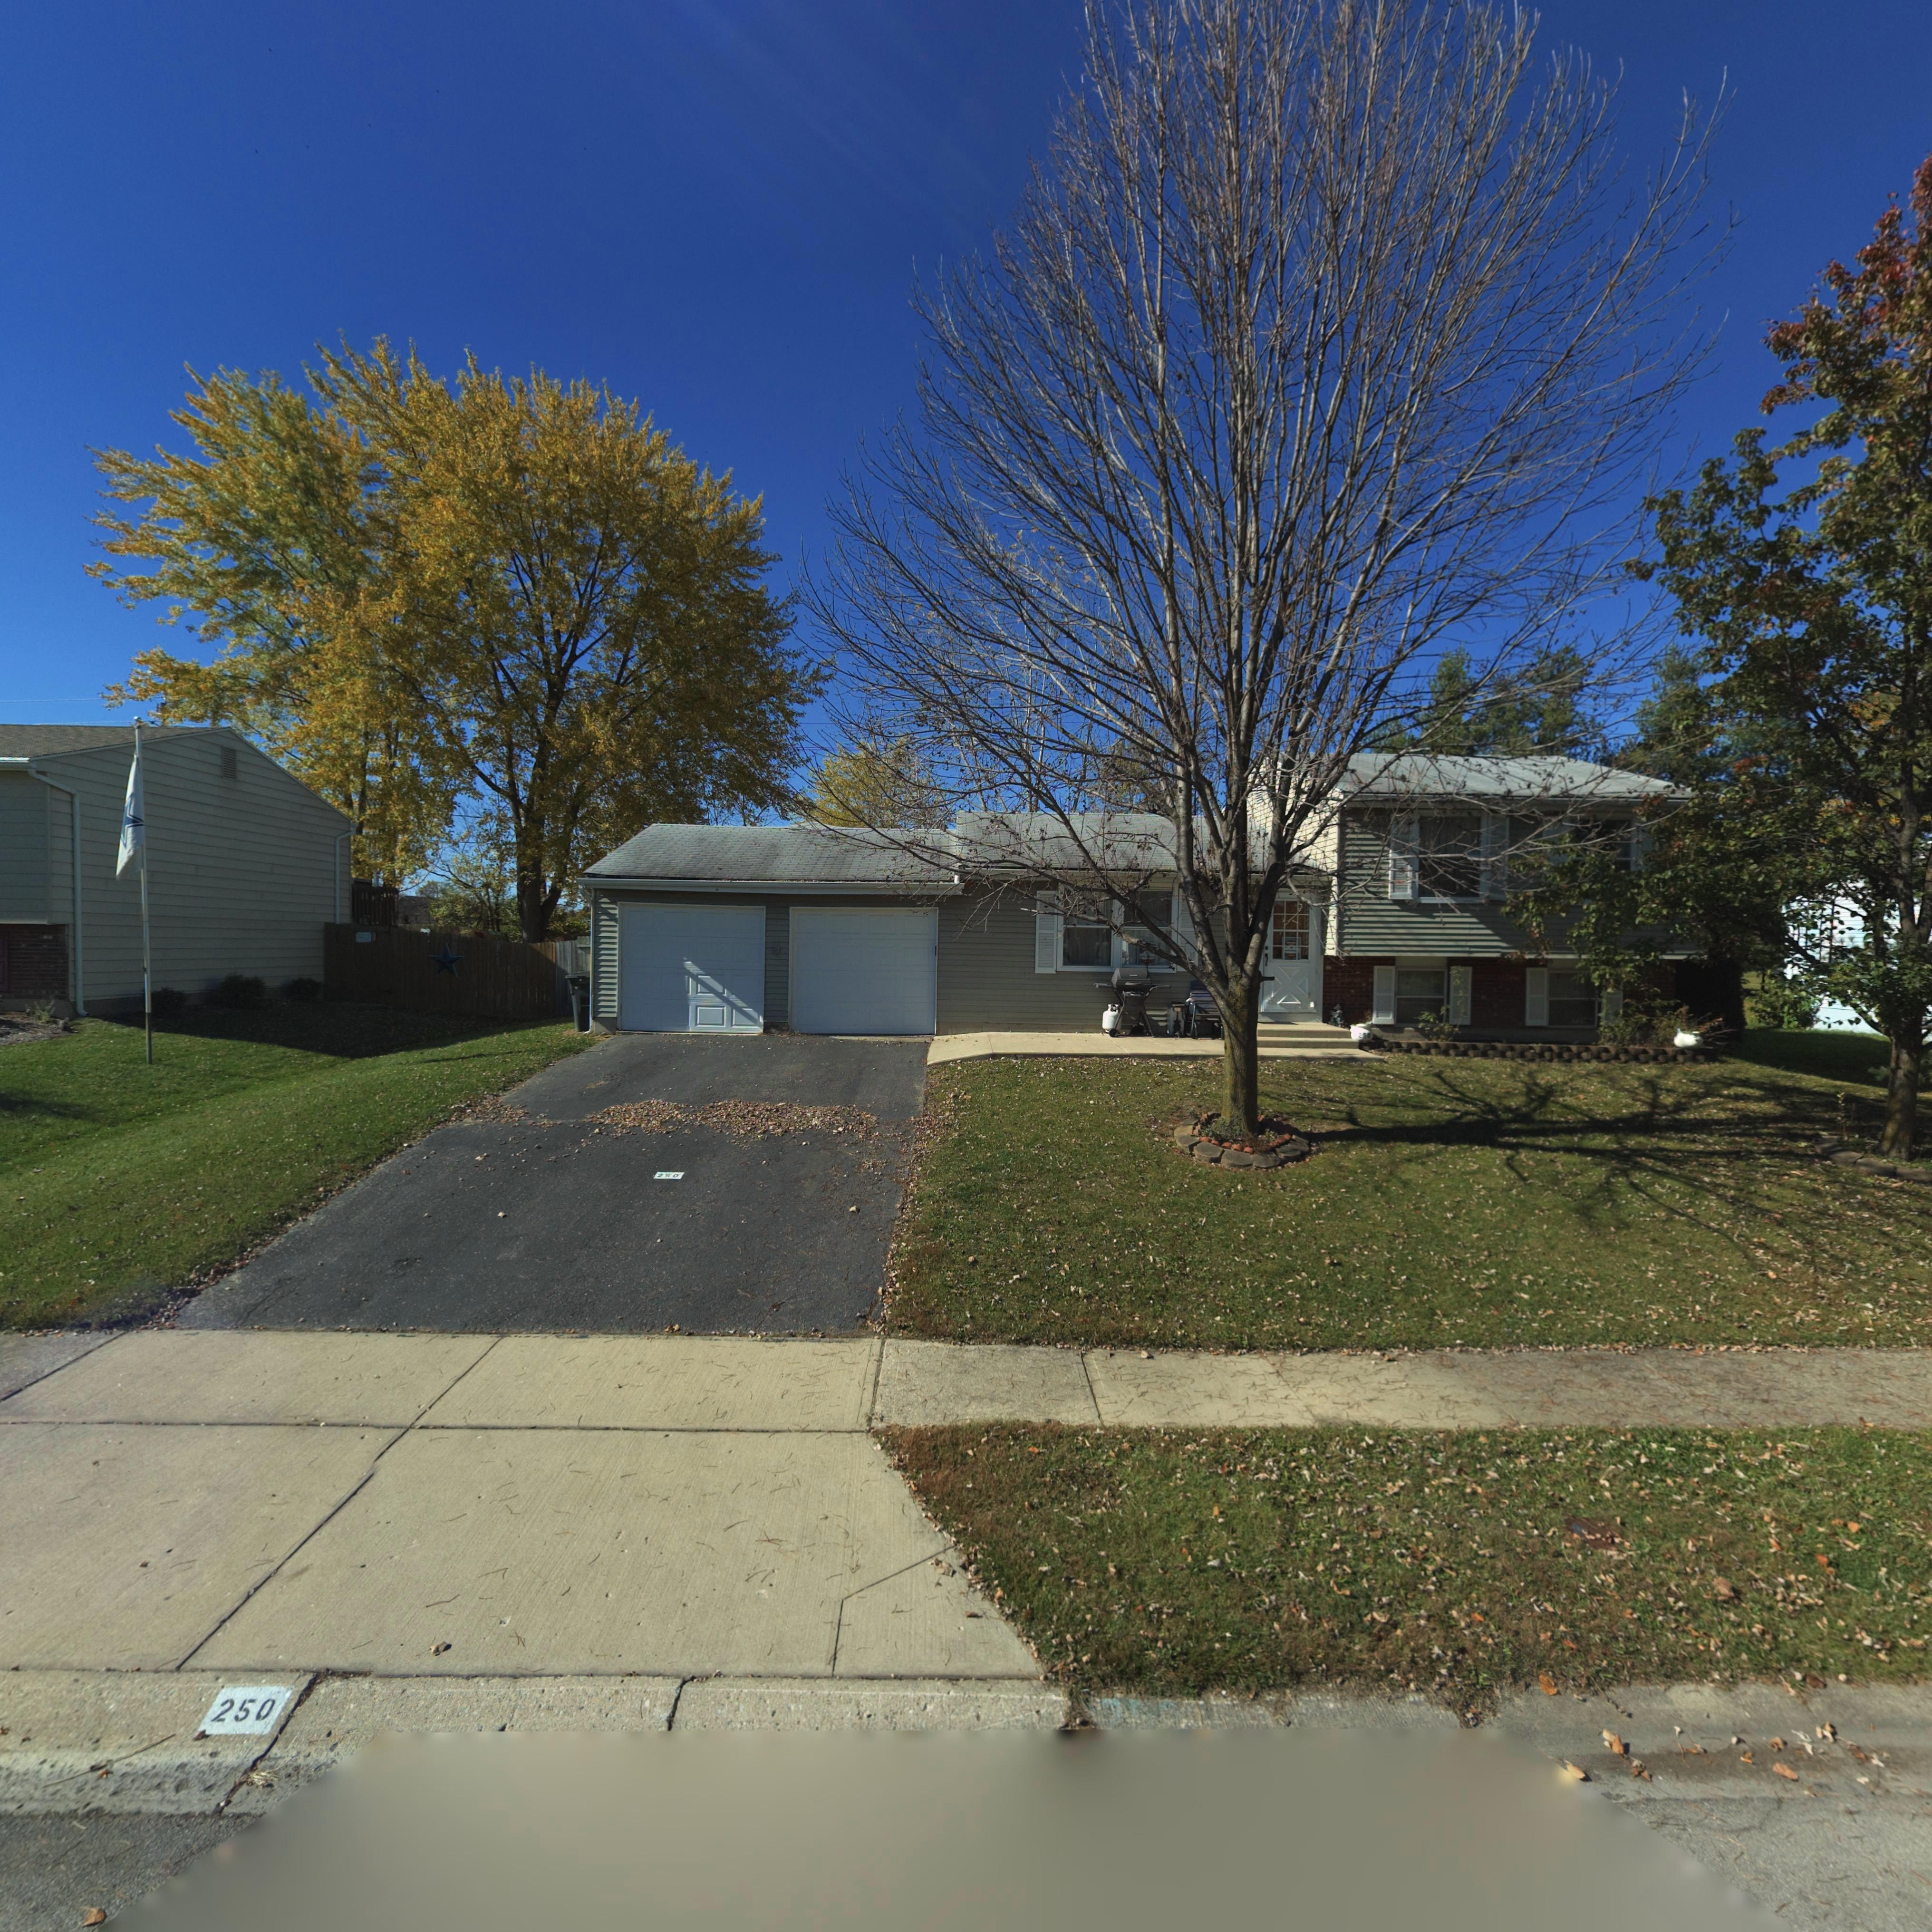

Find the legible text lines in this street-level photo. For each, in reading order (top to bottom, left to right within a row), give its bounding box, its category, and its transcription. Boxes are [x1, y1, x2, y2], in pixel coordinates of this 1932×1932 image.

[654, 1172, 682, 1179] StreetNumber: 250
[205, 1694, 280, 1725] StreetNumber: 250